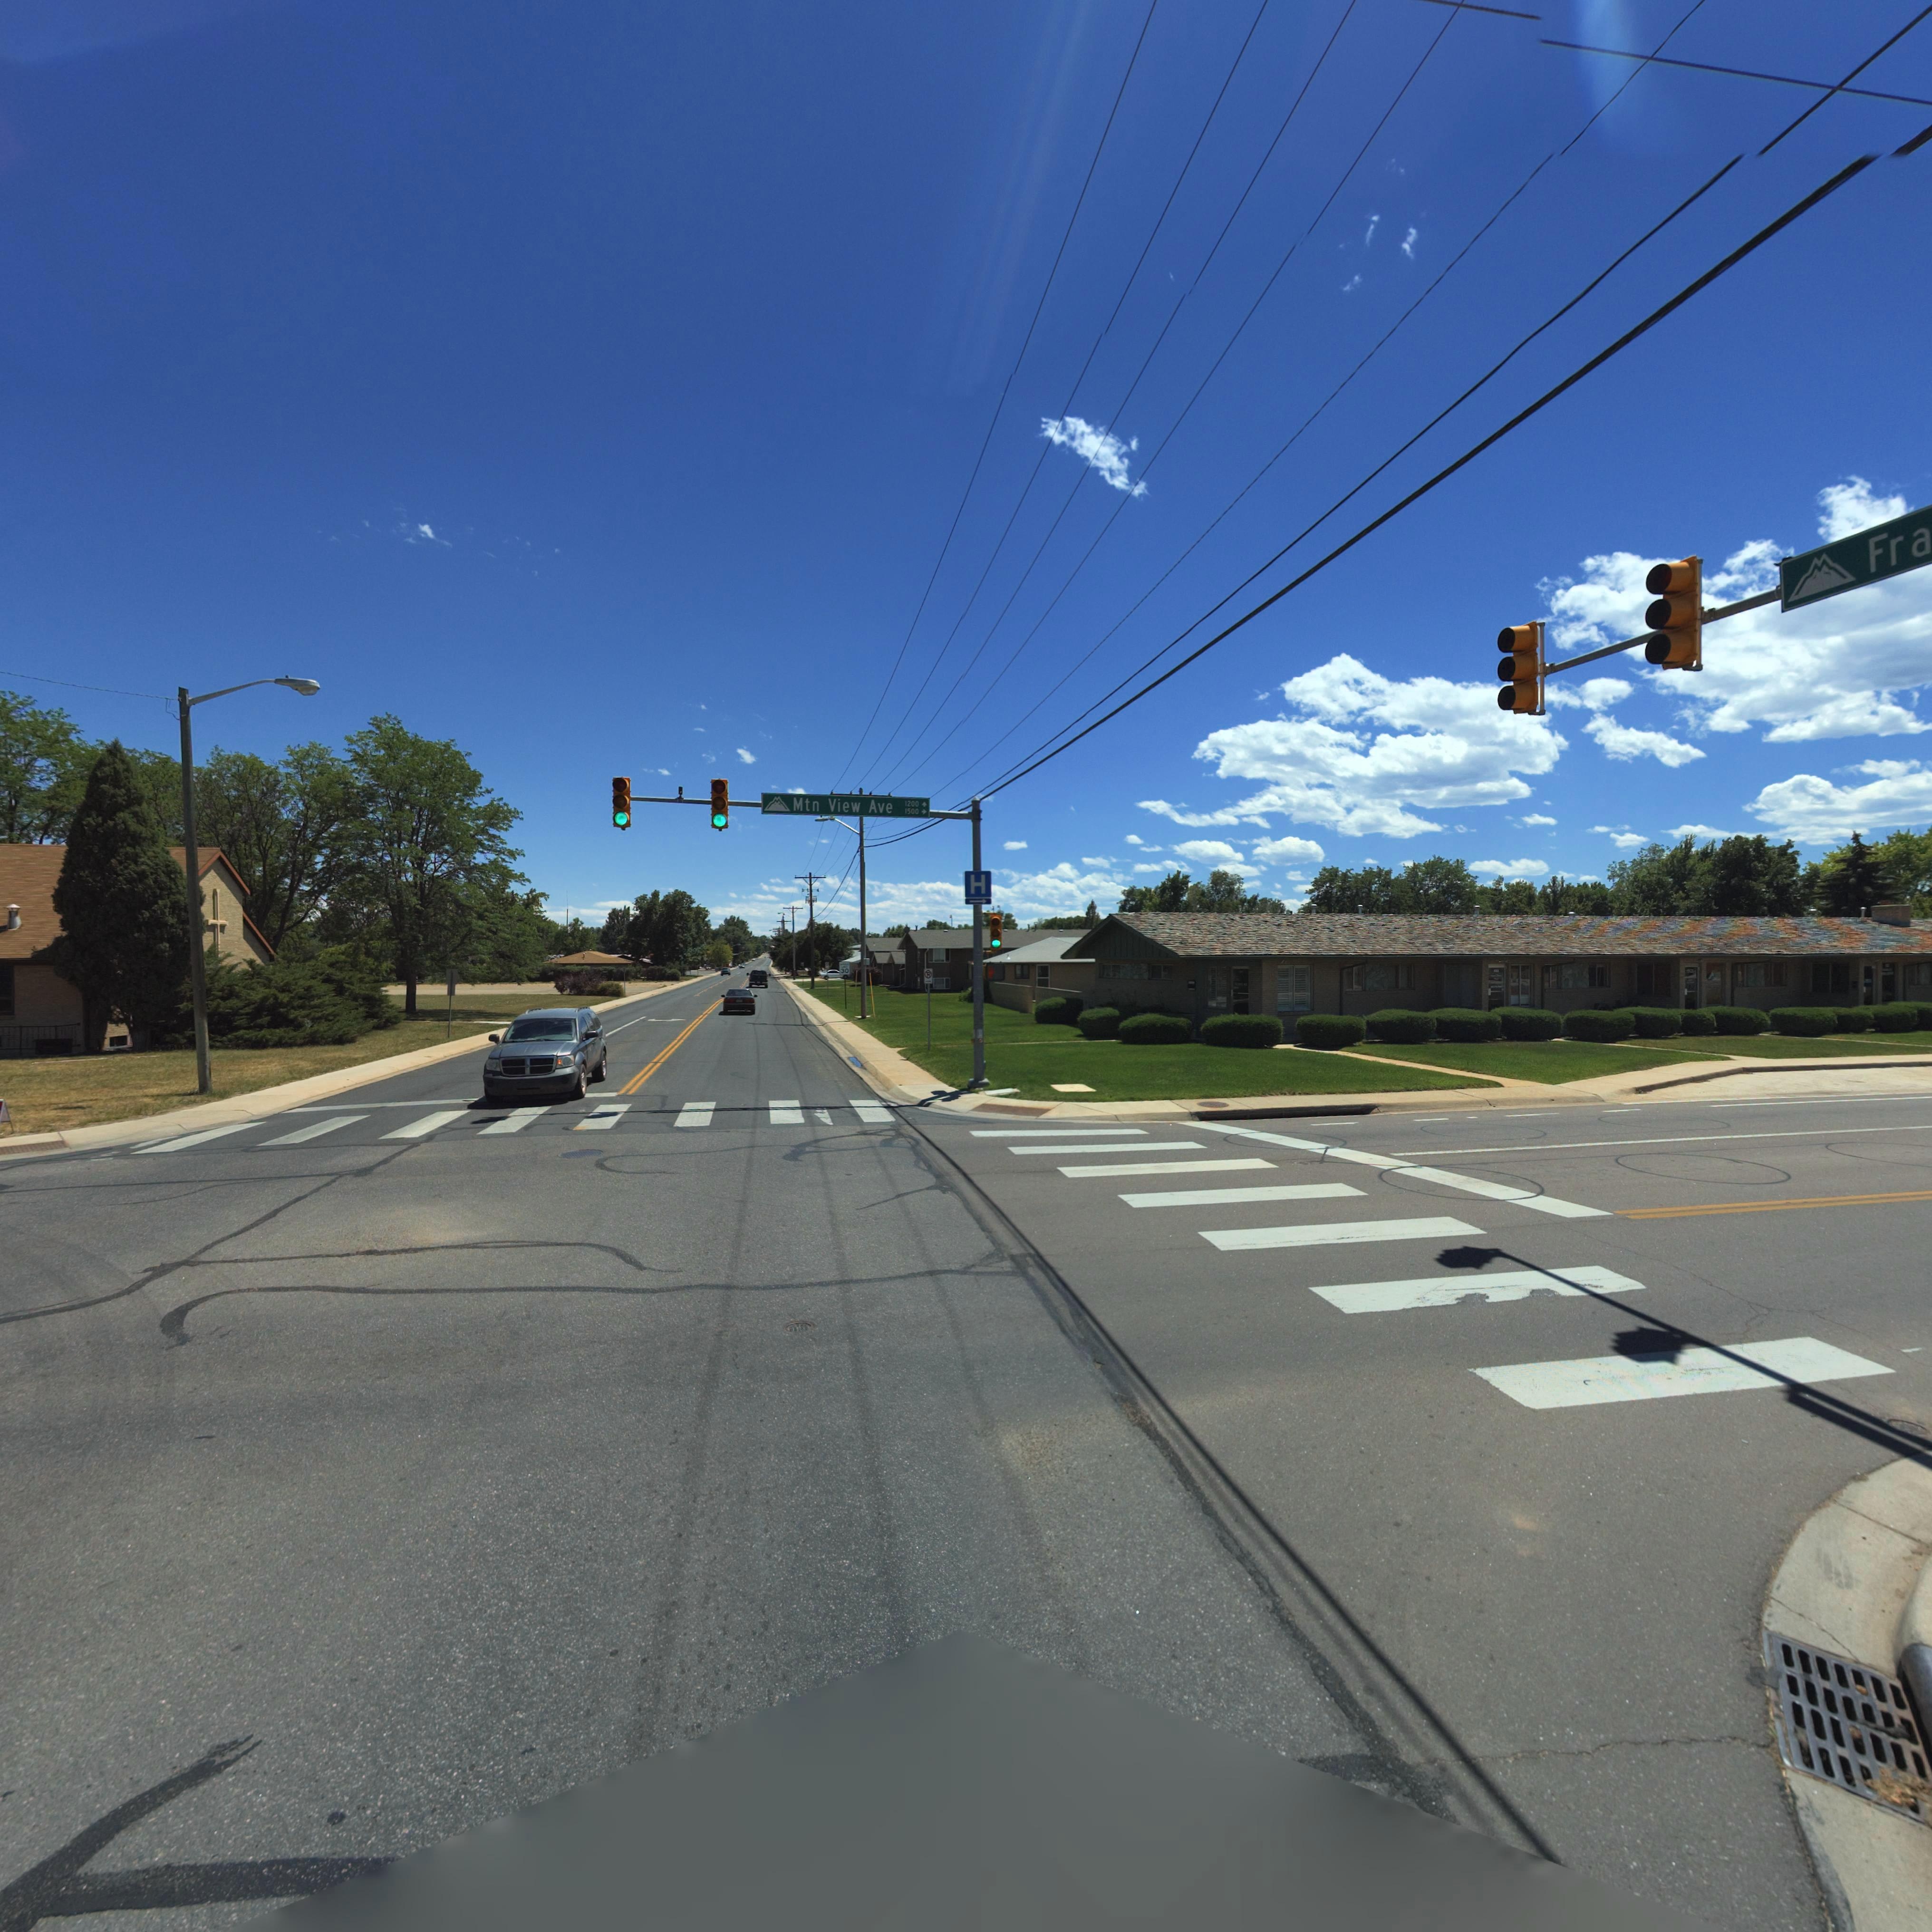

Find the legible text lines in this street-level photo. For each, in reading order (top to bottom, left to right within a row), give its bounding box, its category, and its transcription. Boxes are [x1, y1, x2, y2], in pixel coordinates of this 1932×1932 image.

[1866, 523, 1932, 575] StreetName: Fra
[792, 797, 893, 814] StreetName: Mtn View Ave
[904, 800, 919, 807] StreetNumberRange: 1200
[904, 808, 927, 814] StreetNumberRange: 1500->